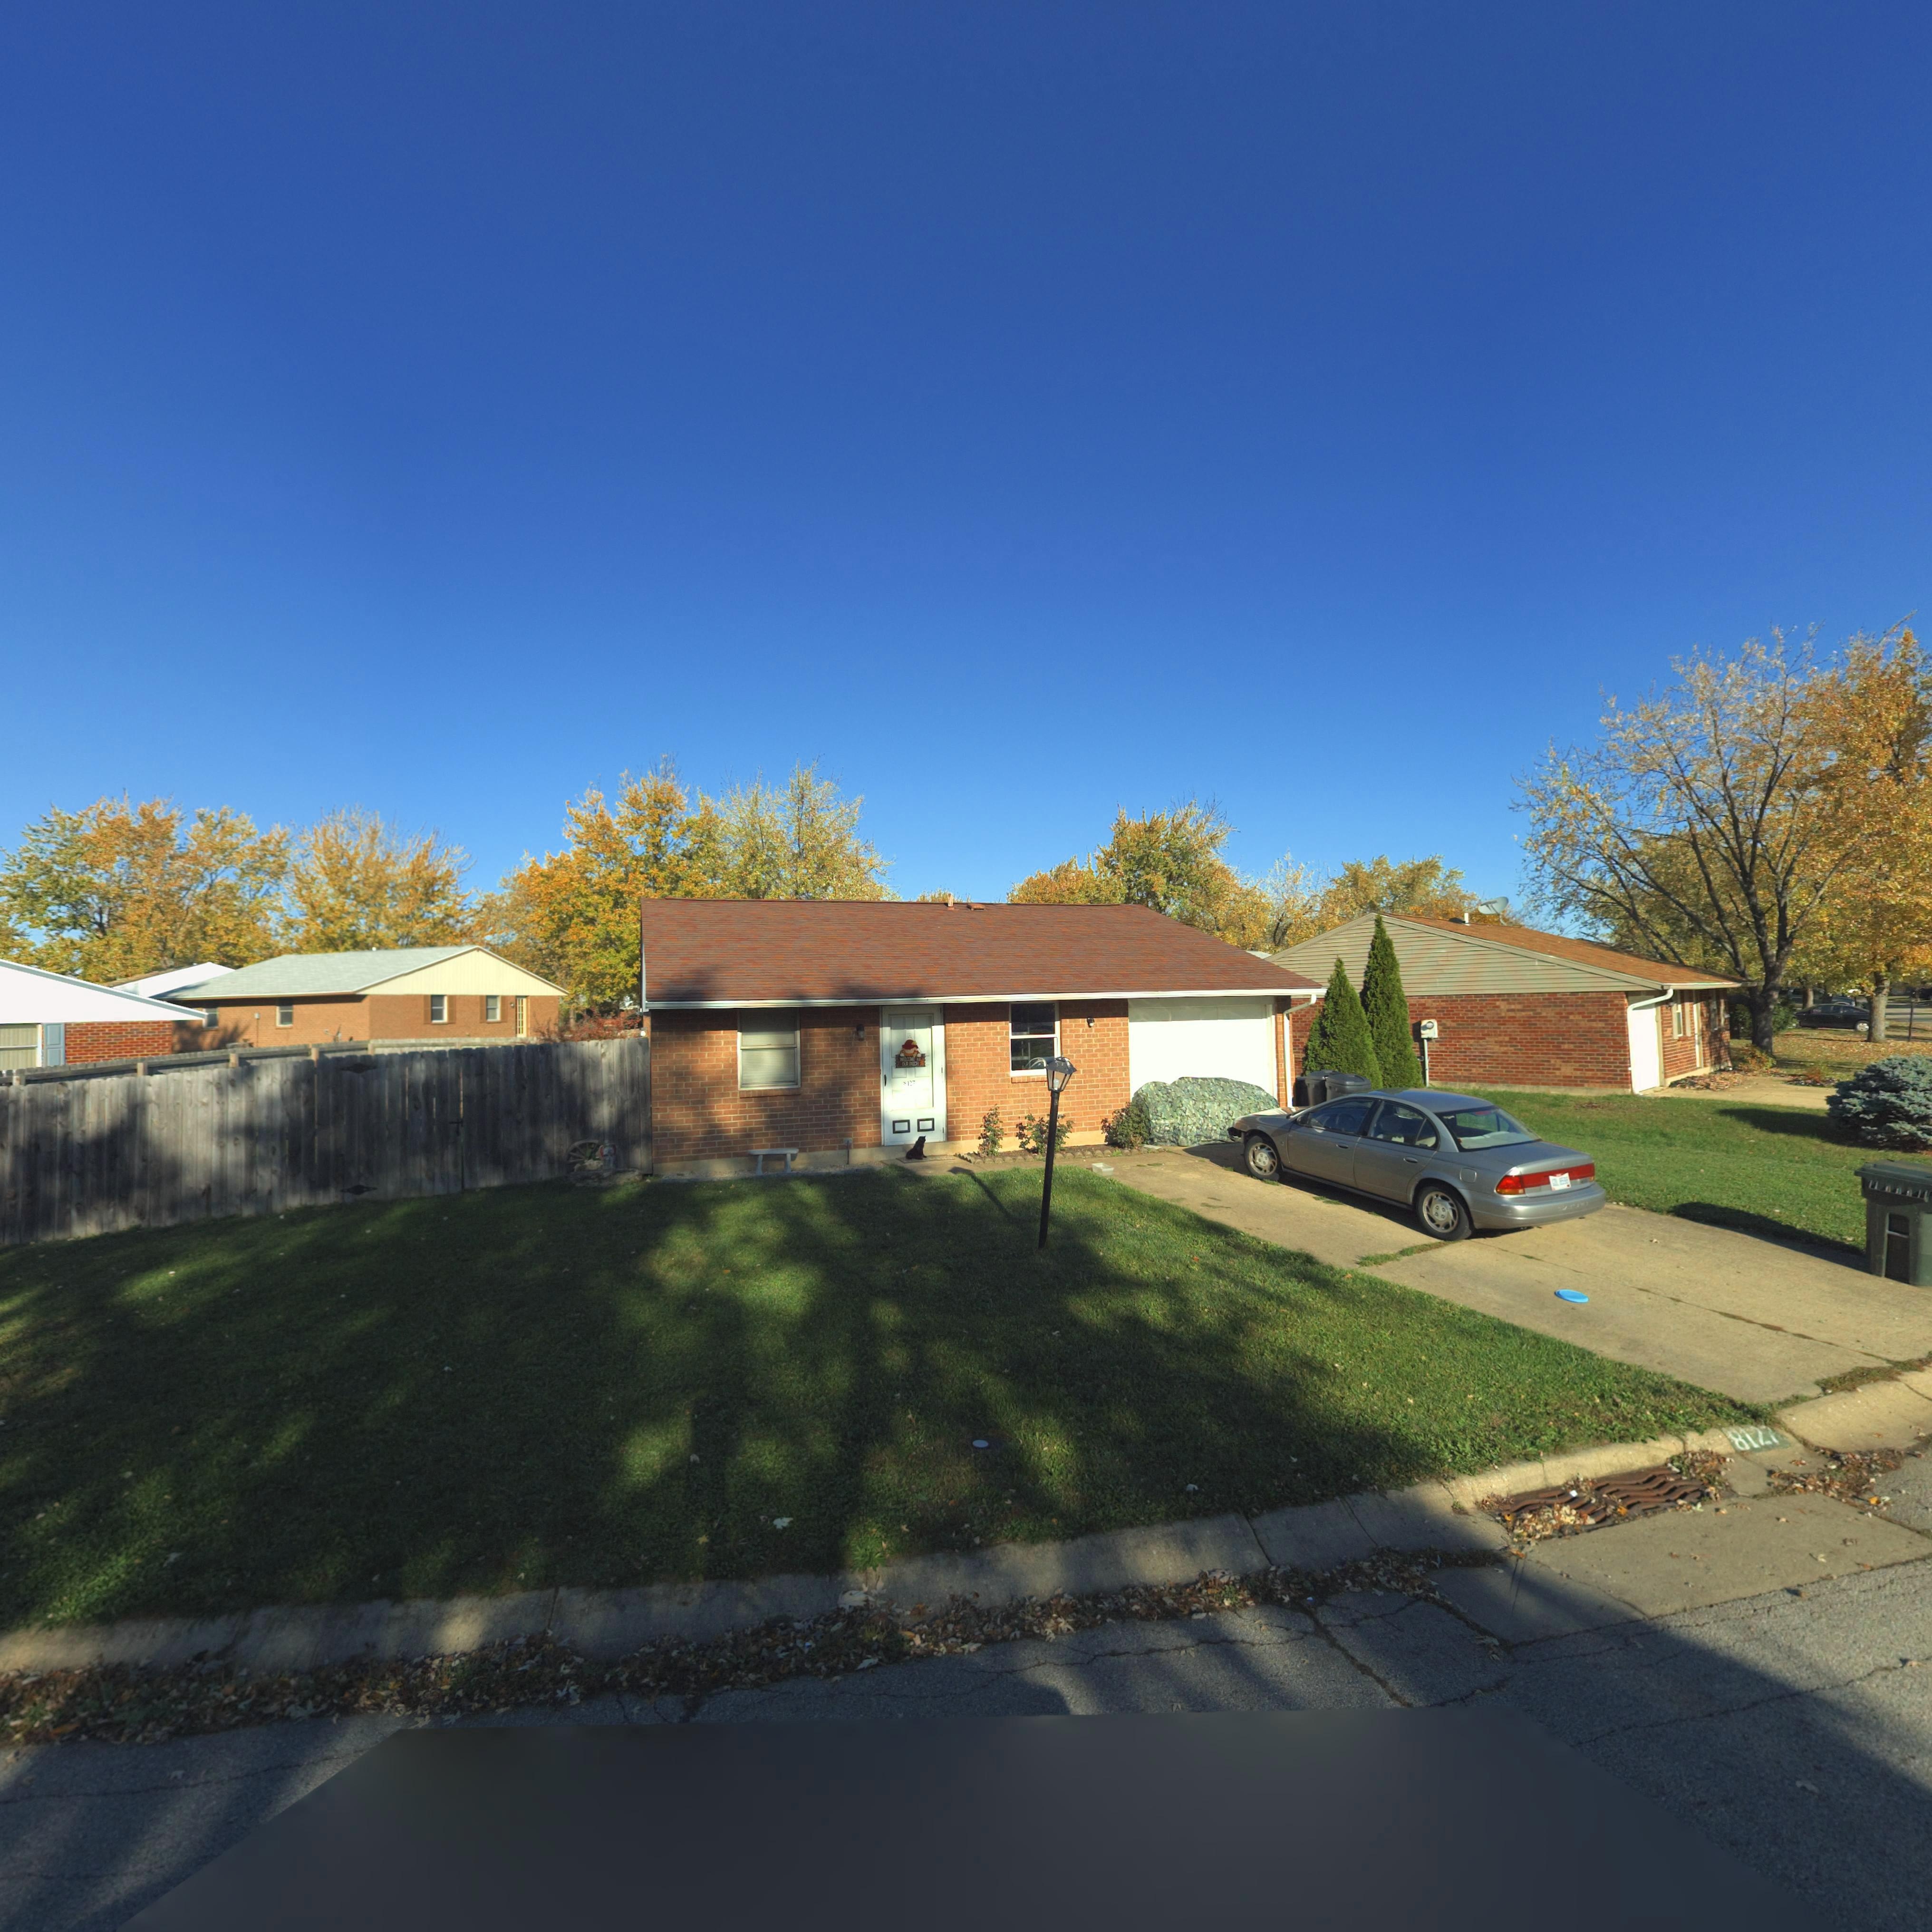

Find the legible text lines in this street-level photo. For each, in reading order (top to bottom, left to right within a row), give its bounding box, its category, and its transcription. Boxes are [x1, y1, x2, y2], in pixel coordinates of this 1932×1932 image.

[902, 1079, 917, 1088] StreetNumber: *12*
[1725, 1423, 1782, 1453] StreetNumber: 812*